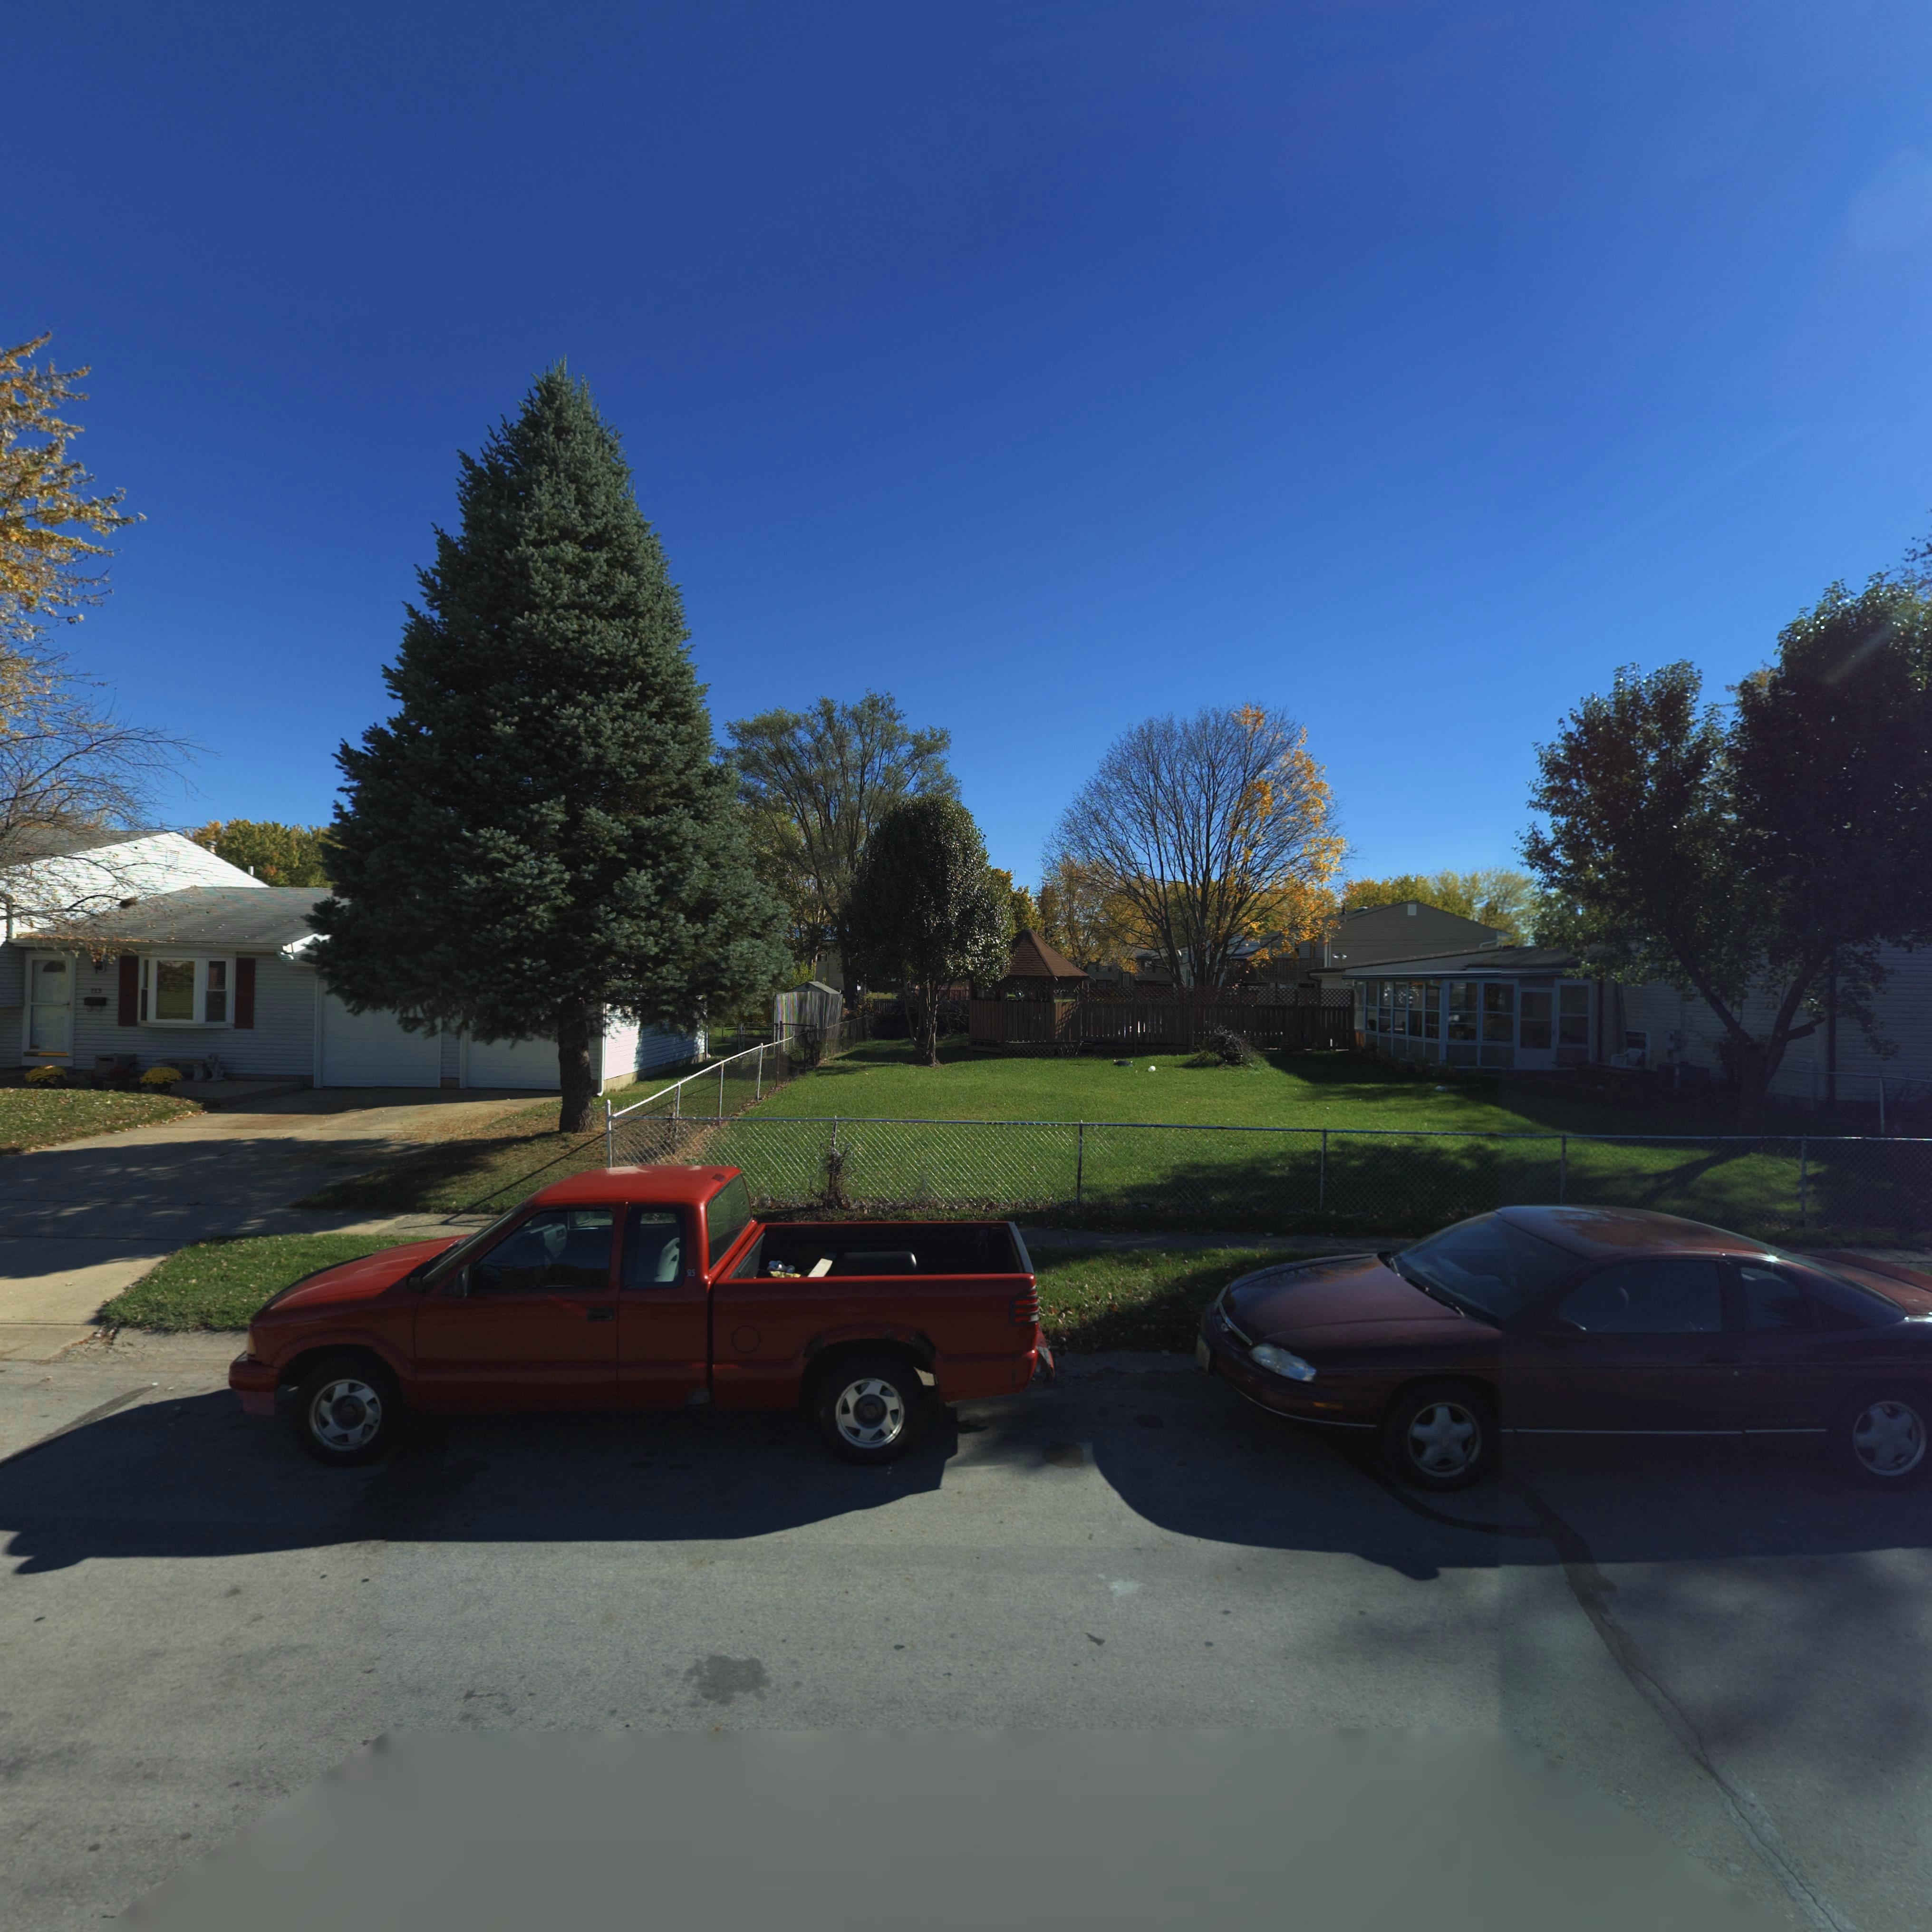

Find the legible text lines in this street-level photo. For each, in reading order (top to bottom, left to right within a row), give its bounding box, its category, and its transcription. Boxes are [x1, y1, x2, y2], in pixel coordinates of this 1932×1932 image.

[90, 987, 102, 994] StreetNumber: 113